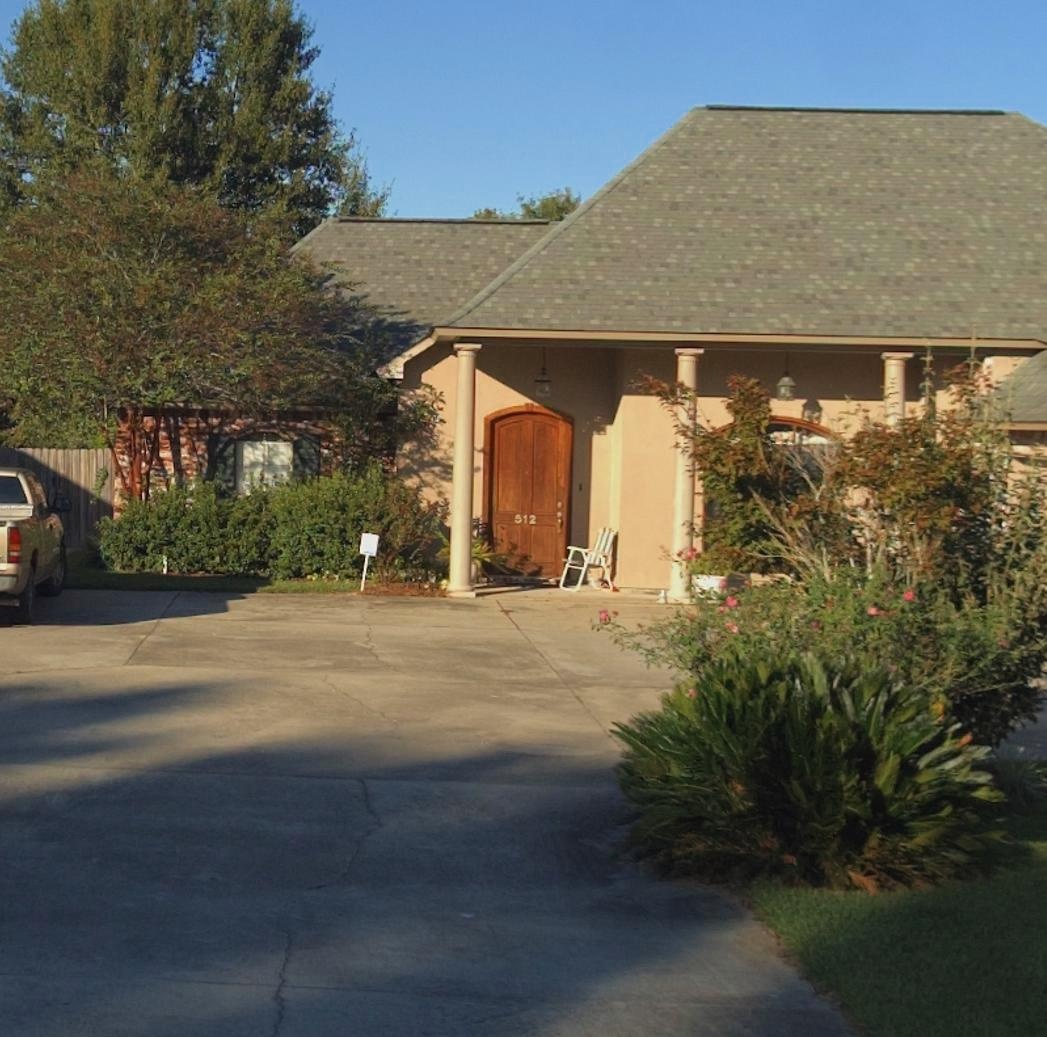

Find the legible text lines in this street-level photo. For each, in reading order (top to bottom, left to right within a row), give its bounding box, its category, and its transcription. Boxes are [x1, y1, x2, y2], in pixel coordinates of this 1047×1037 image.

[513, 514, 537, 524] StreetNumber: 512